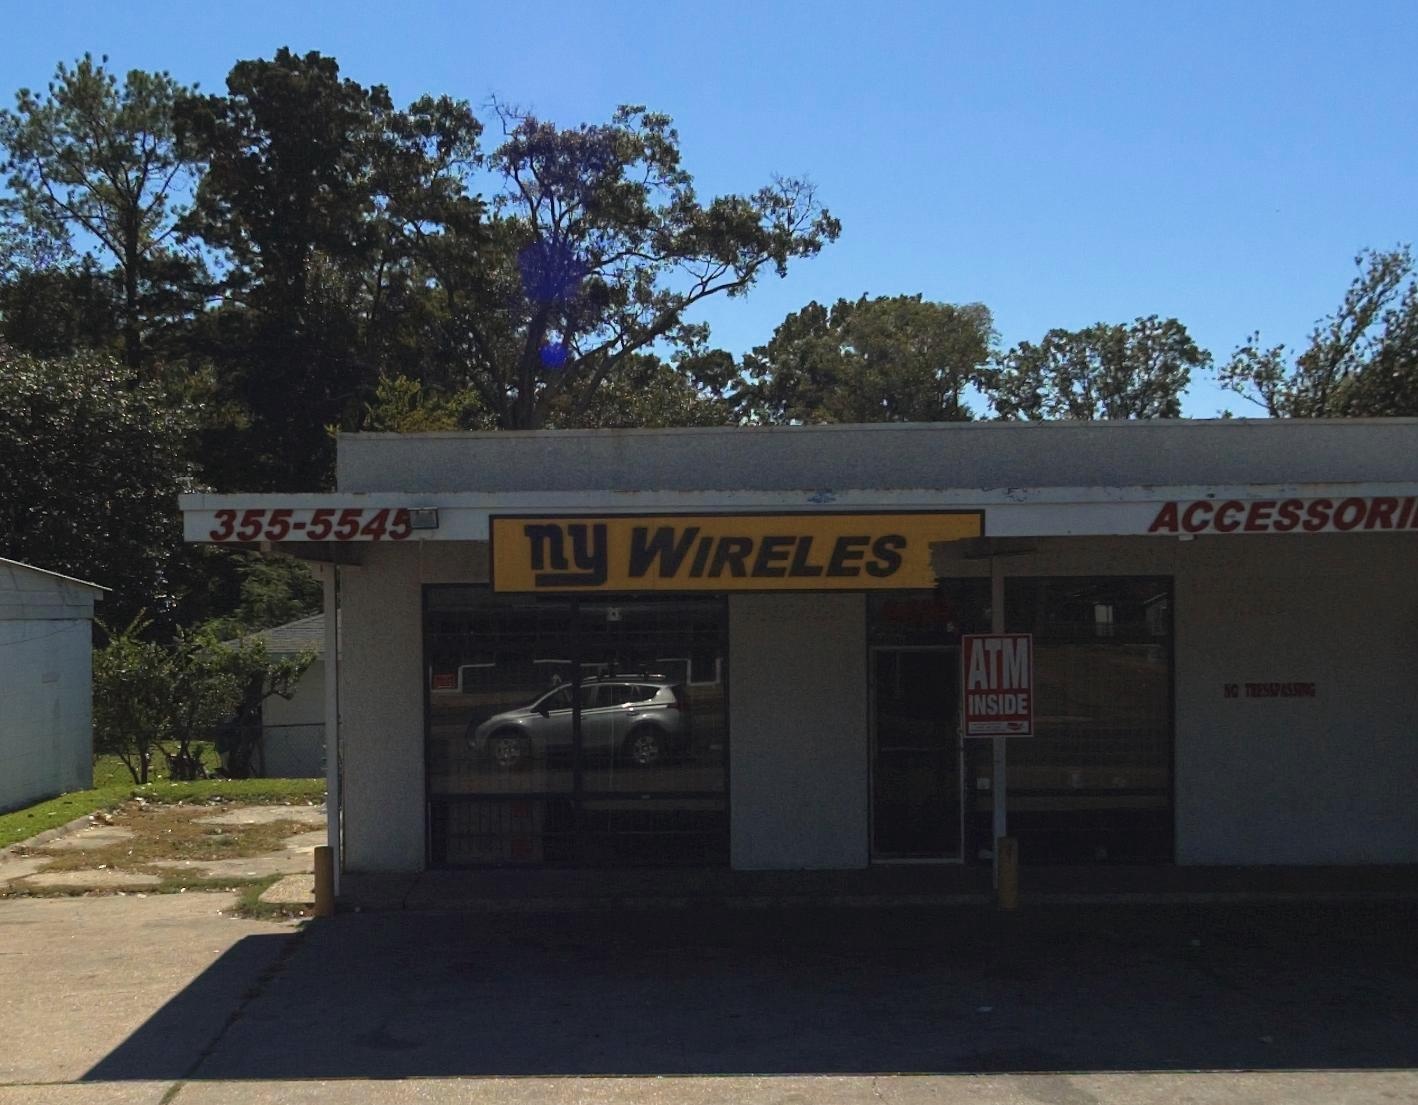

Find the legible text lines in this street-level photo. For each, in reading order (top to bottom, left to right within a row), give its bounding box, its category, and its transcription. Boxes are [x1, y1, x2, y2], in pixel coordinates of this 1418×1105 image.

[206, 507, 424, 543] None: 355-554*
[1141, 493, 1417, 534] None: ACCESSORI
[522, 518, 909, 590] BusinessName: ny Wireles
[964, 634, 1031, 693] None: ATM
[965, 691, 1031, 718] None: INSIDE
[1221, 680, 1318, 701] None: NO TRESSPASSING